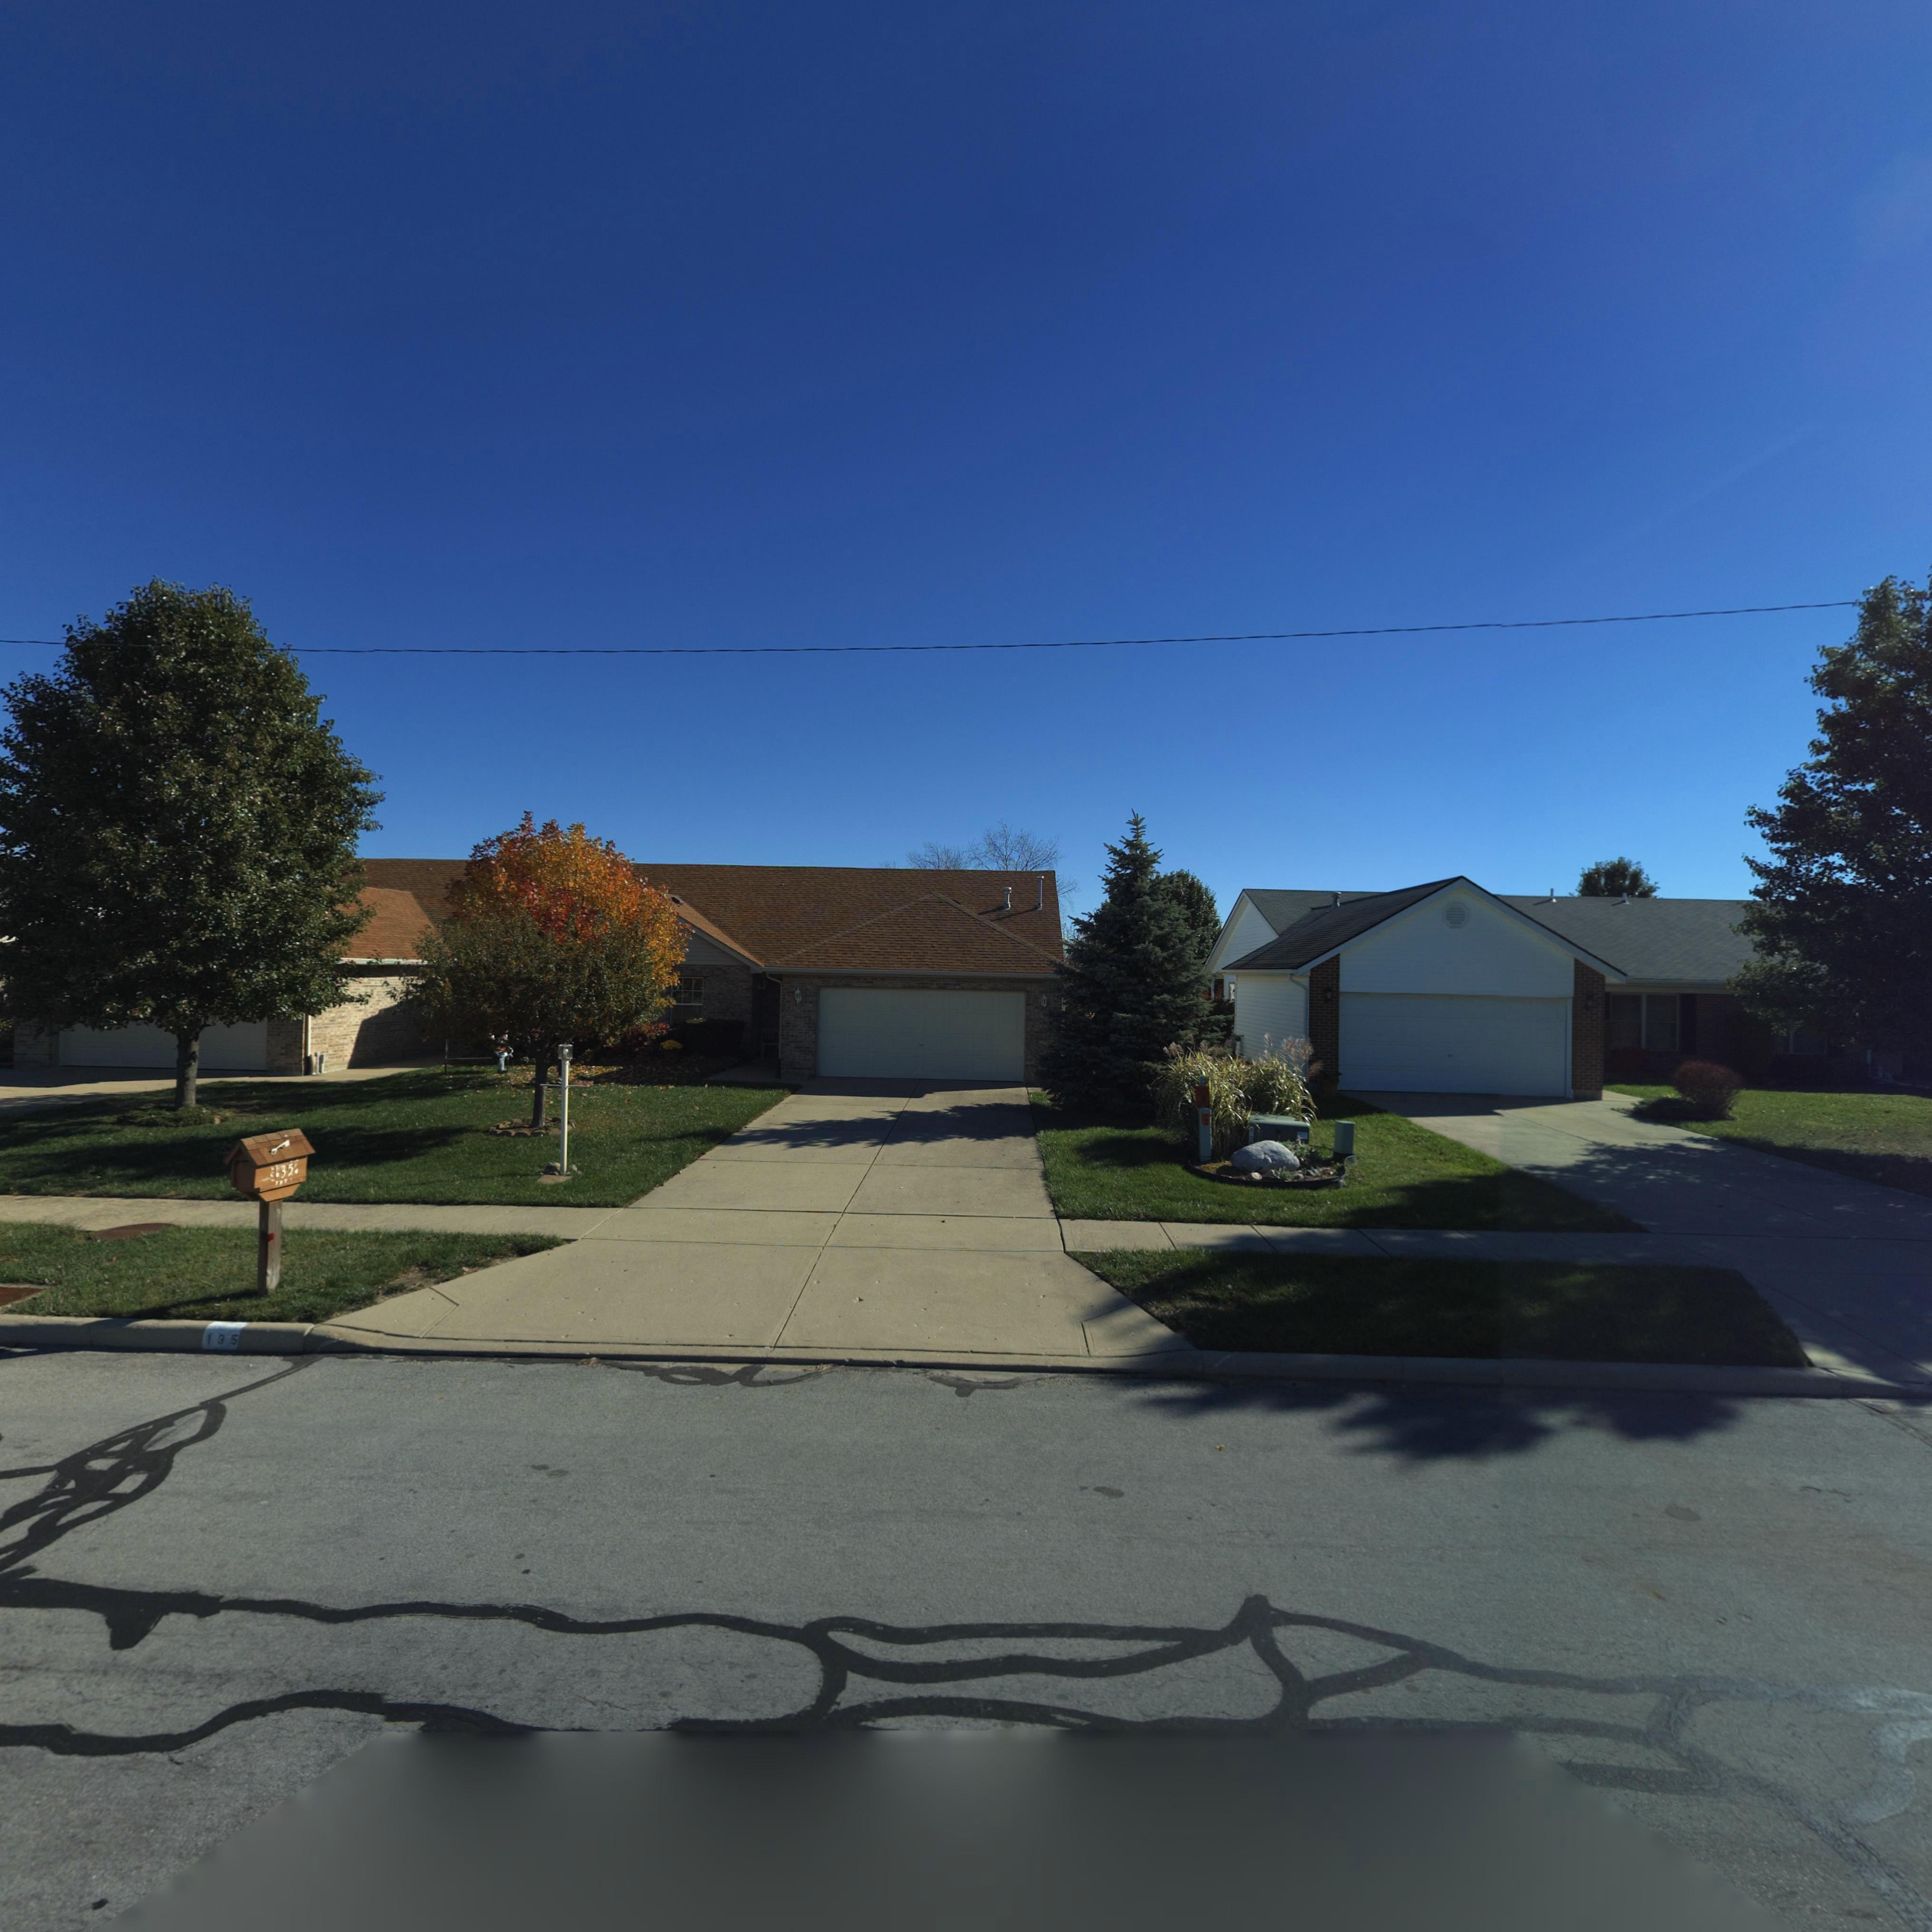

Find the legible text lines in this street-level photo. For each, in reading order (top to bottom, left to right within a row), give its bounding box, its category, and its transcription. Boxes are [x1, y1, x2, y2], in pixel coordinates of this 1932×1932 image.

[274, 1162, 294, 1179] StreetNumber: 135
[206, 1333, 239, 1346] StreetNumber: 135